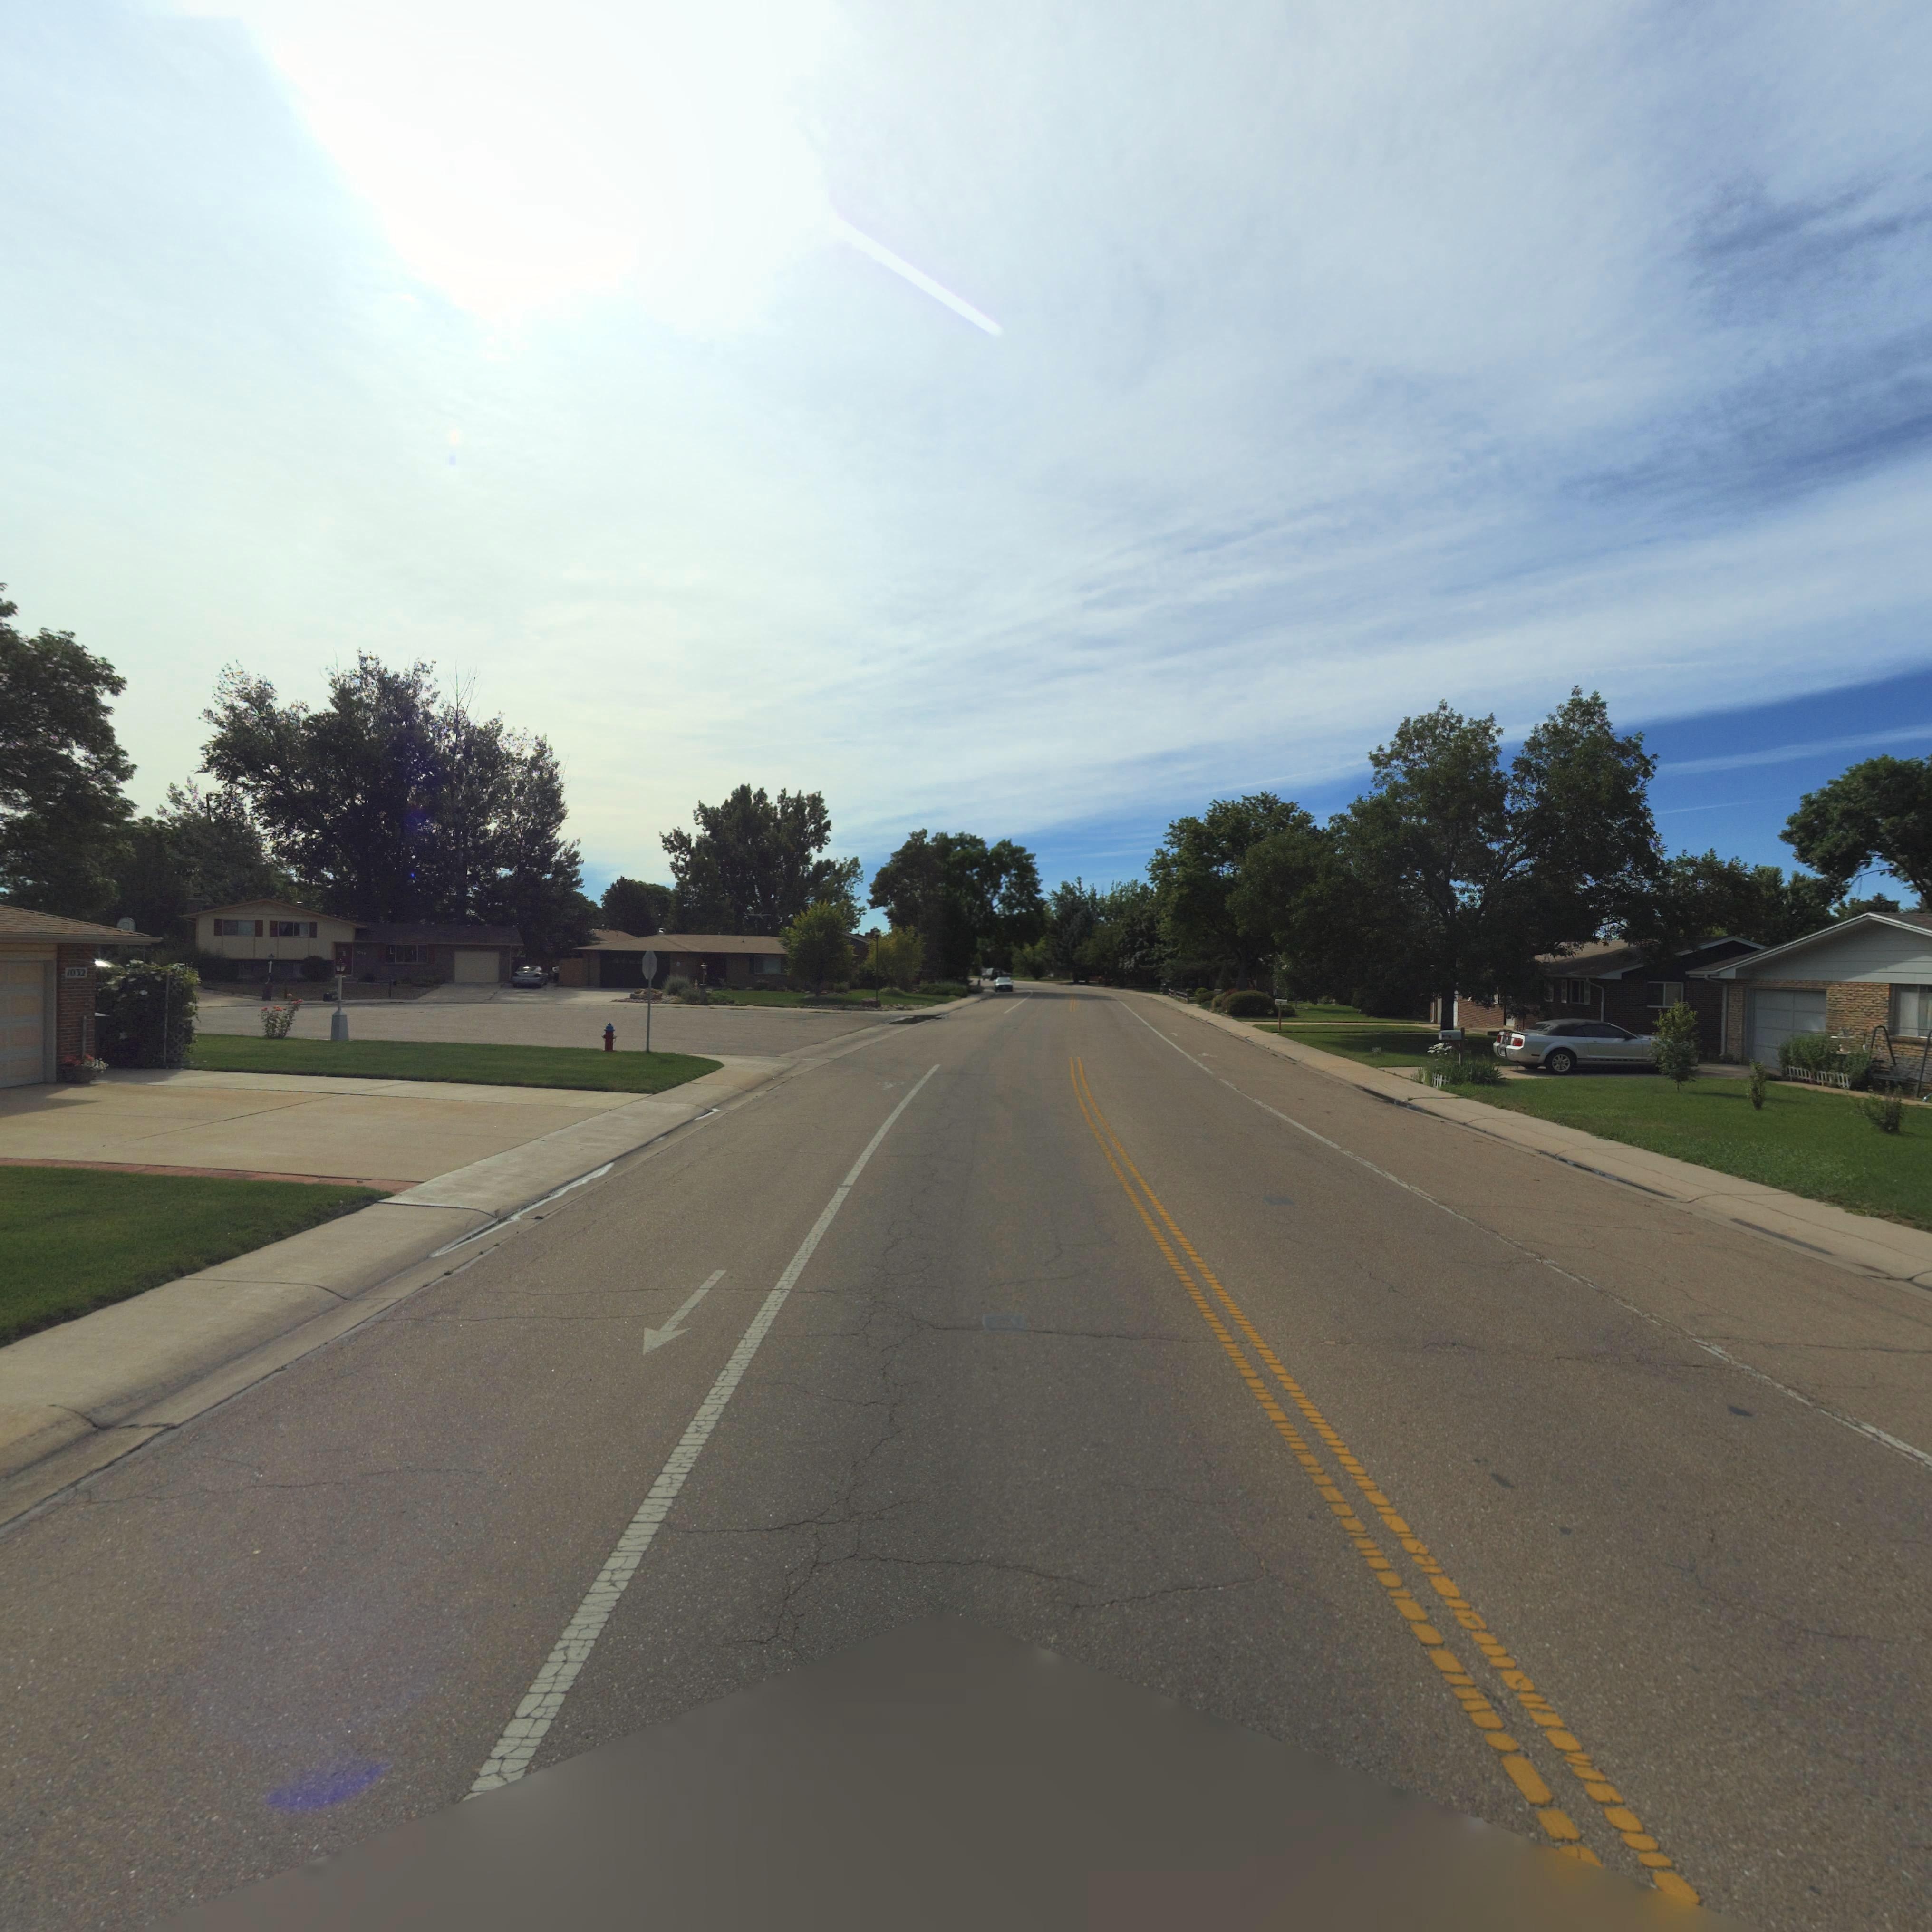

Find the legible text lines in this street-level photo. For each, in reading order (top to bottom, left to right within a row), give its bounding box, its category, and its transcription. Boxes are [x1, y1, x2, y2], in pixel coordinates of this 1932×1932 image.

[355, 950, 366, 956] StreetNumber: 1014
[66, 968, 86, 976] StreetNumber: 1032